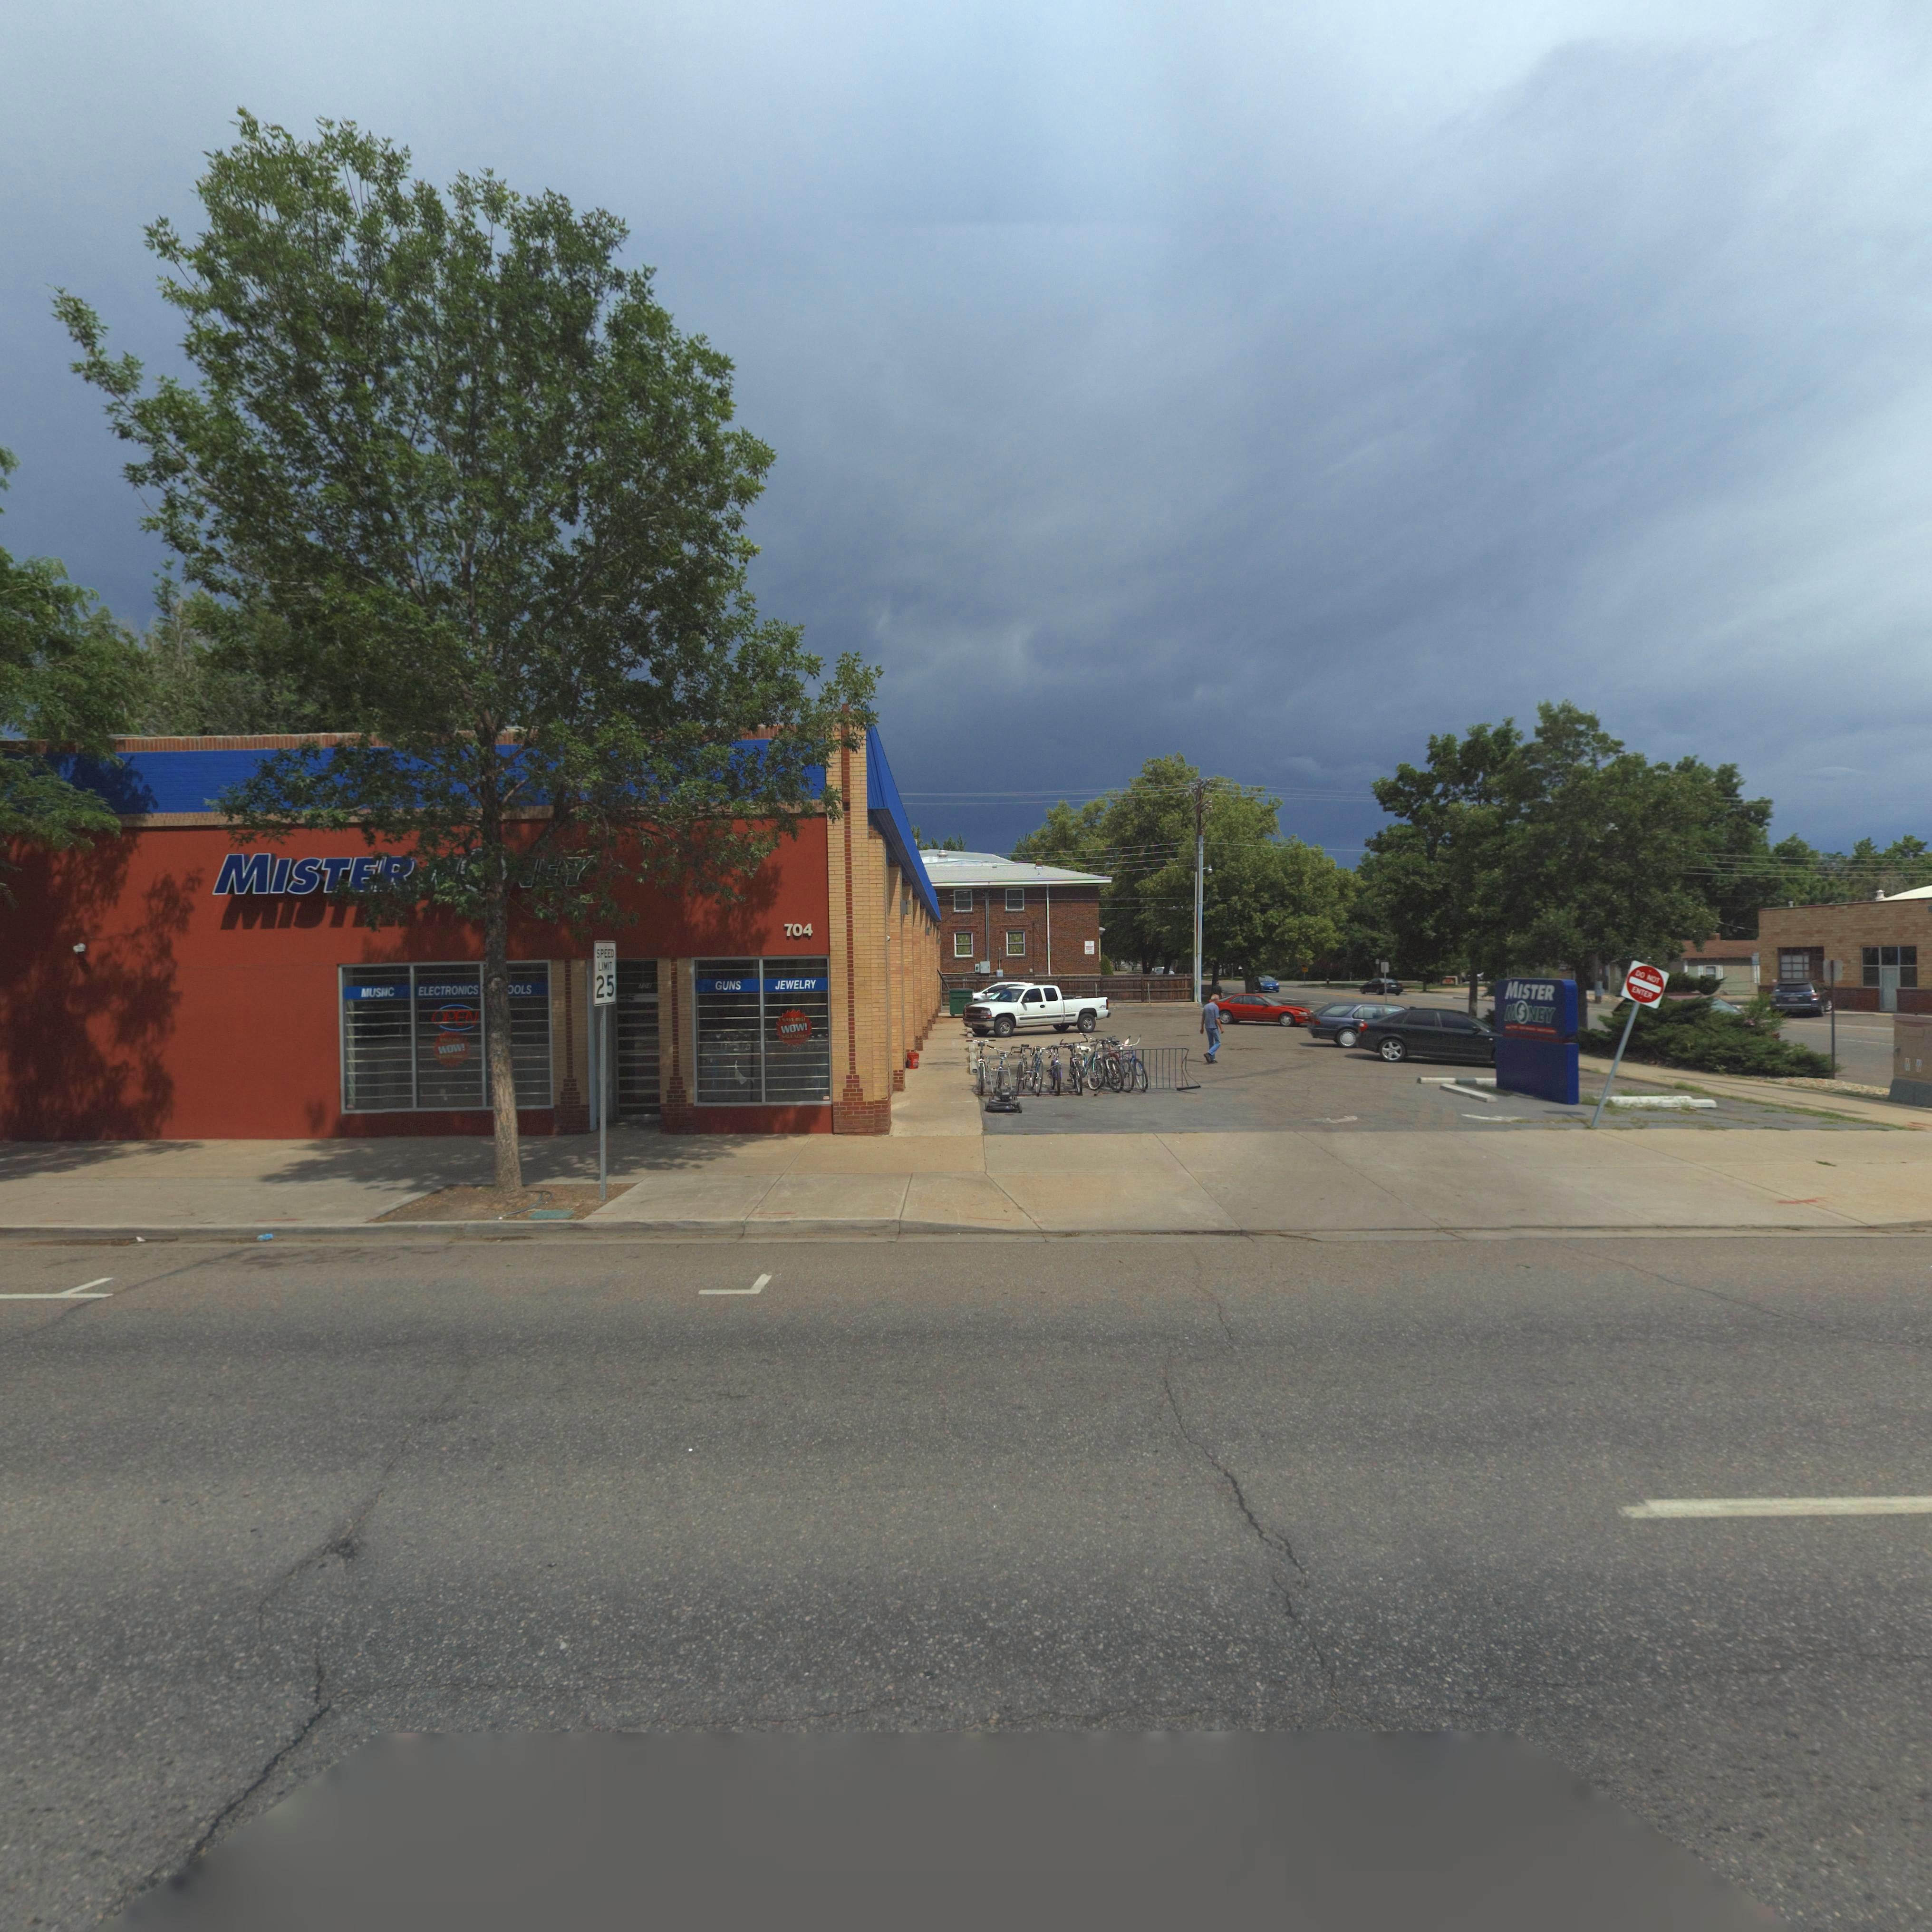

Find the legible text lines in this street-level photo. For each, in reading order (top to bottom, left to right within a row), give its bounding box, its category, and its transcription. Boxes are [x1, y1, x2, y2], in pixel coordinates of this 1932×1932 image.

[210, 851, 600, 895] BusinessName: MISTE* *****
[783, 923, 813, 936] StreetNumber: 704
[639, 983, 651, 988] StreetNumber: 704
[1504, 980, 1555, 1001] BusinessName: MISTER
[1503, 1003, 1556, 1024] BusinessName: M*NEY